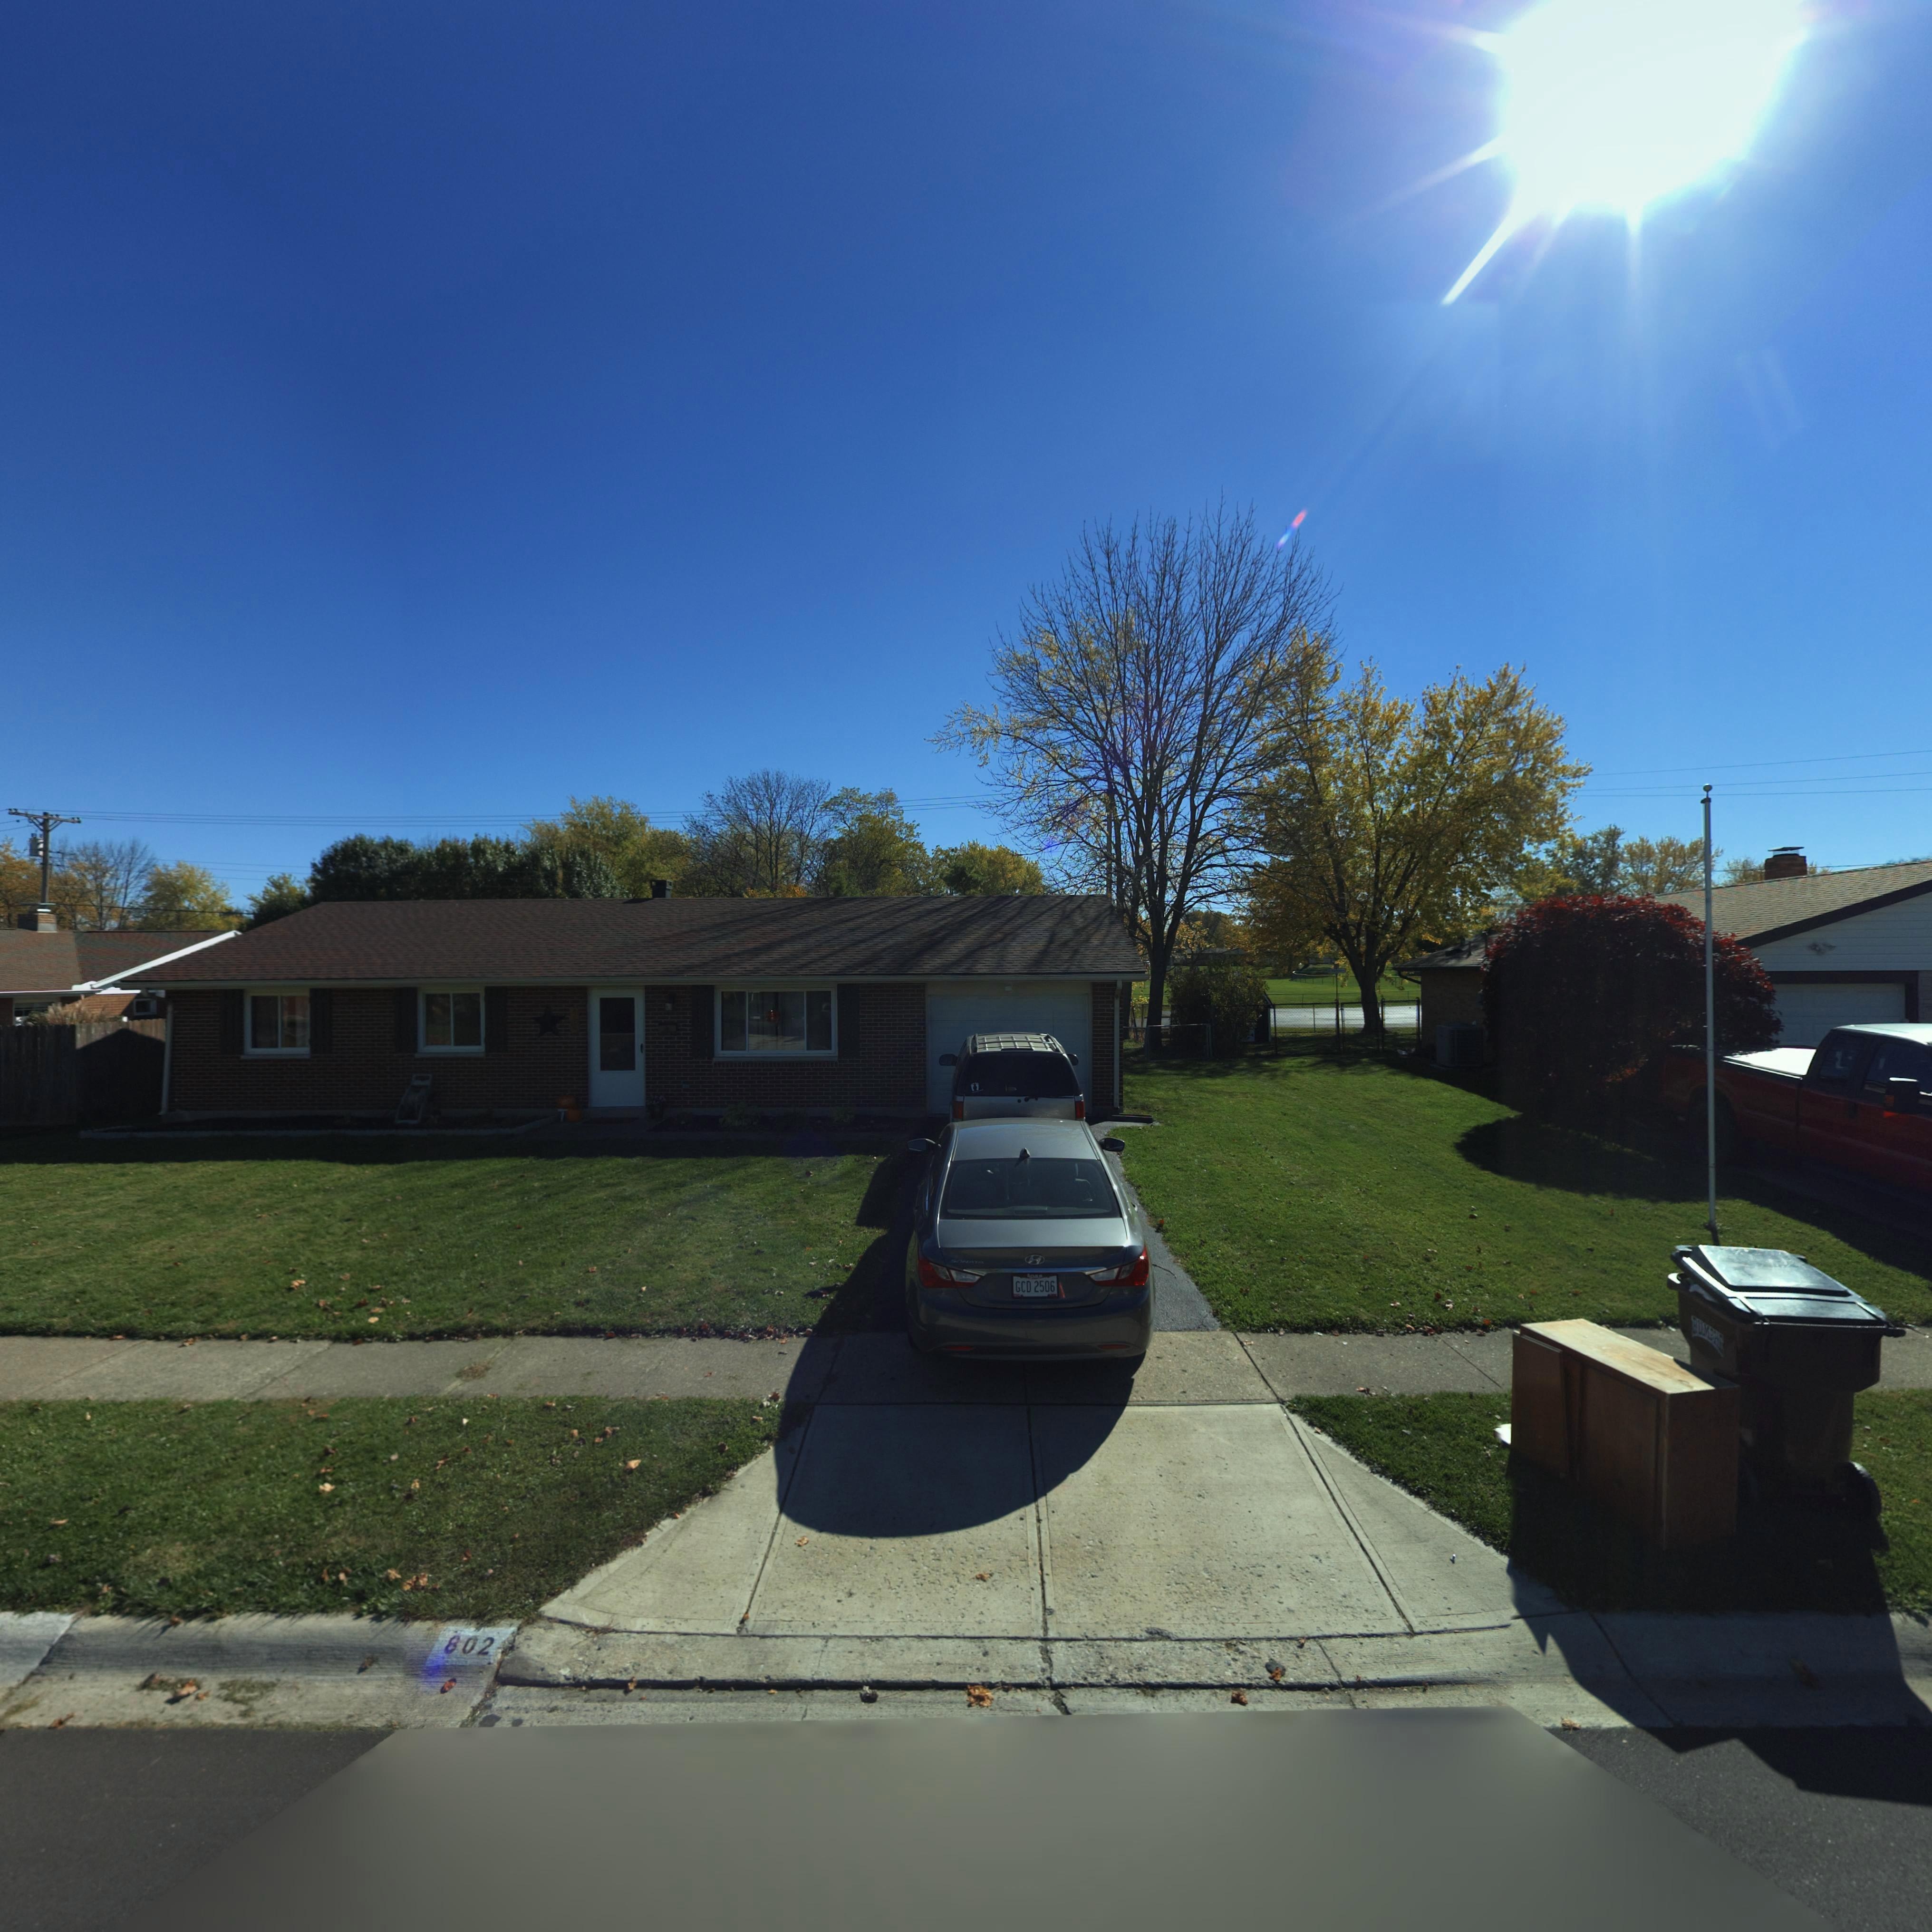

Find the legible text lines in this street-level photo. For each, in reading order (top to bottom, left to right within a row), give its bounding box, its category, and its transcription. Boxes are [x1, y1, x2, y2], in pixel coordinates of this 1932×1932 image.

[443, 1634, 495, 1656] StreetNumber: 802